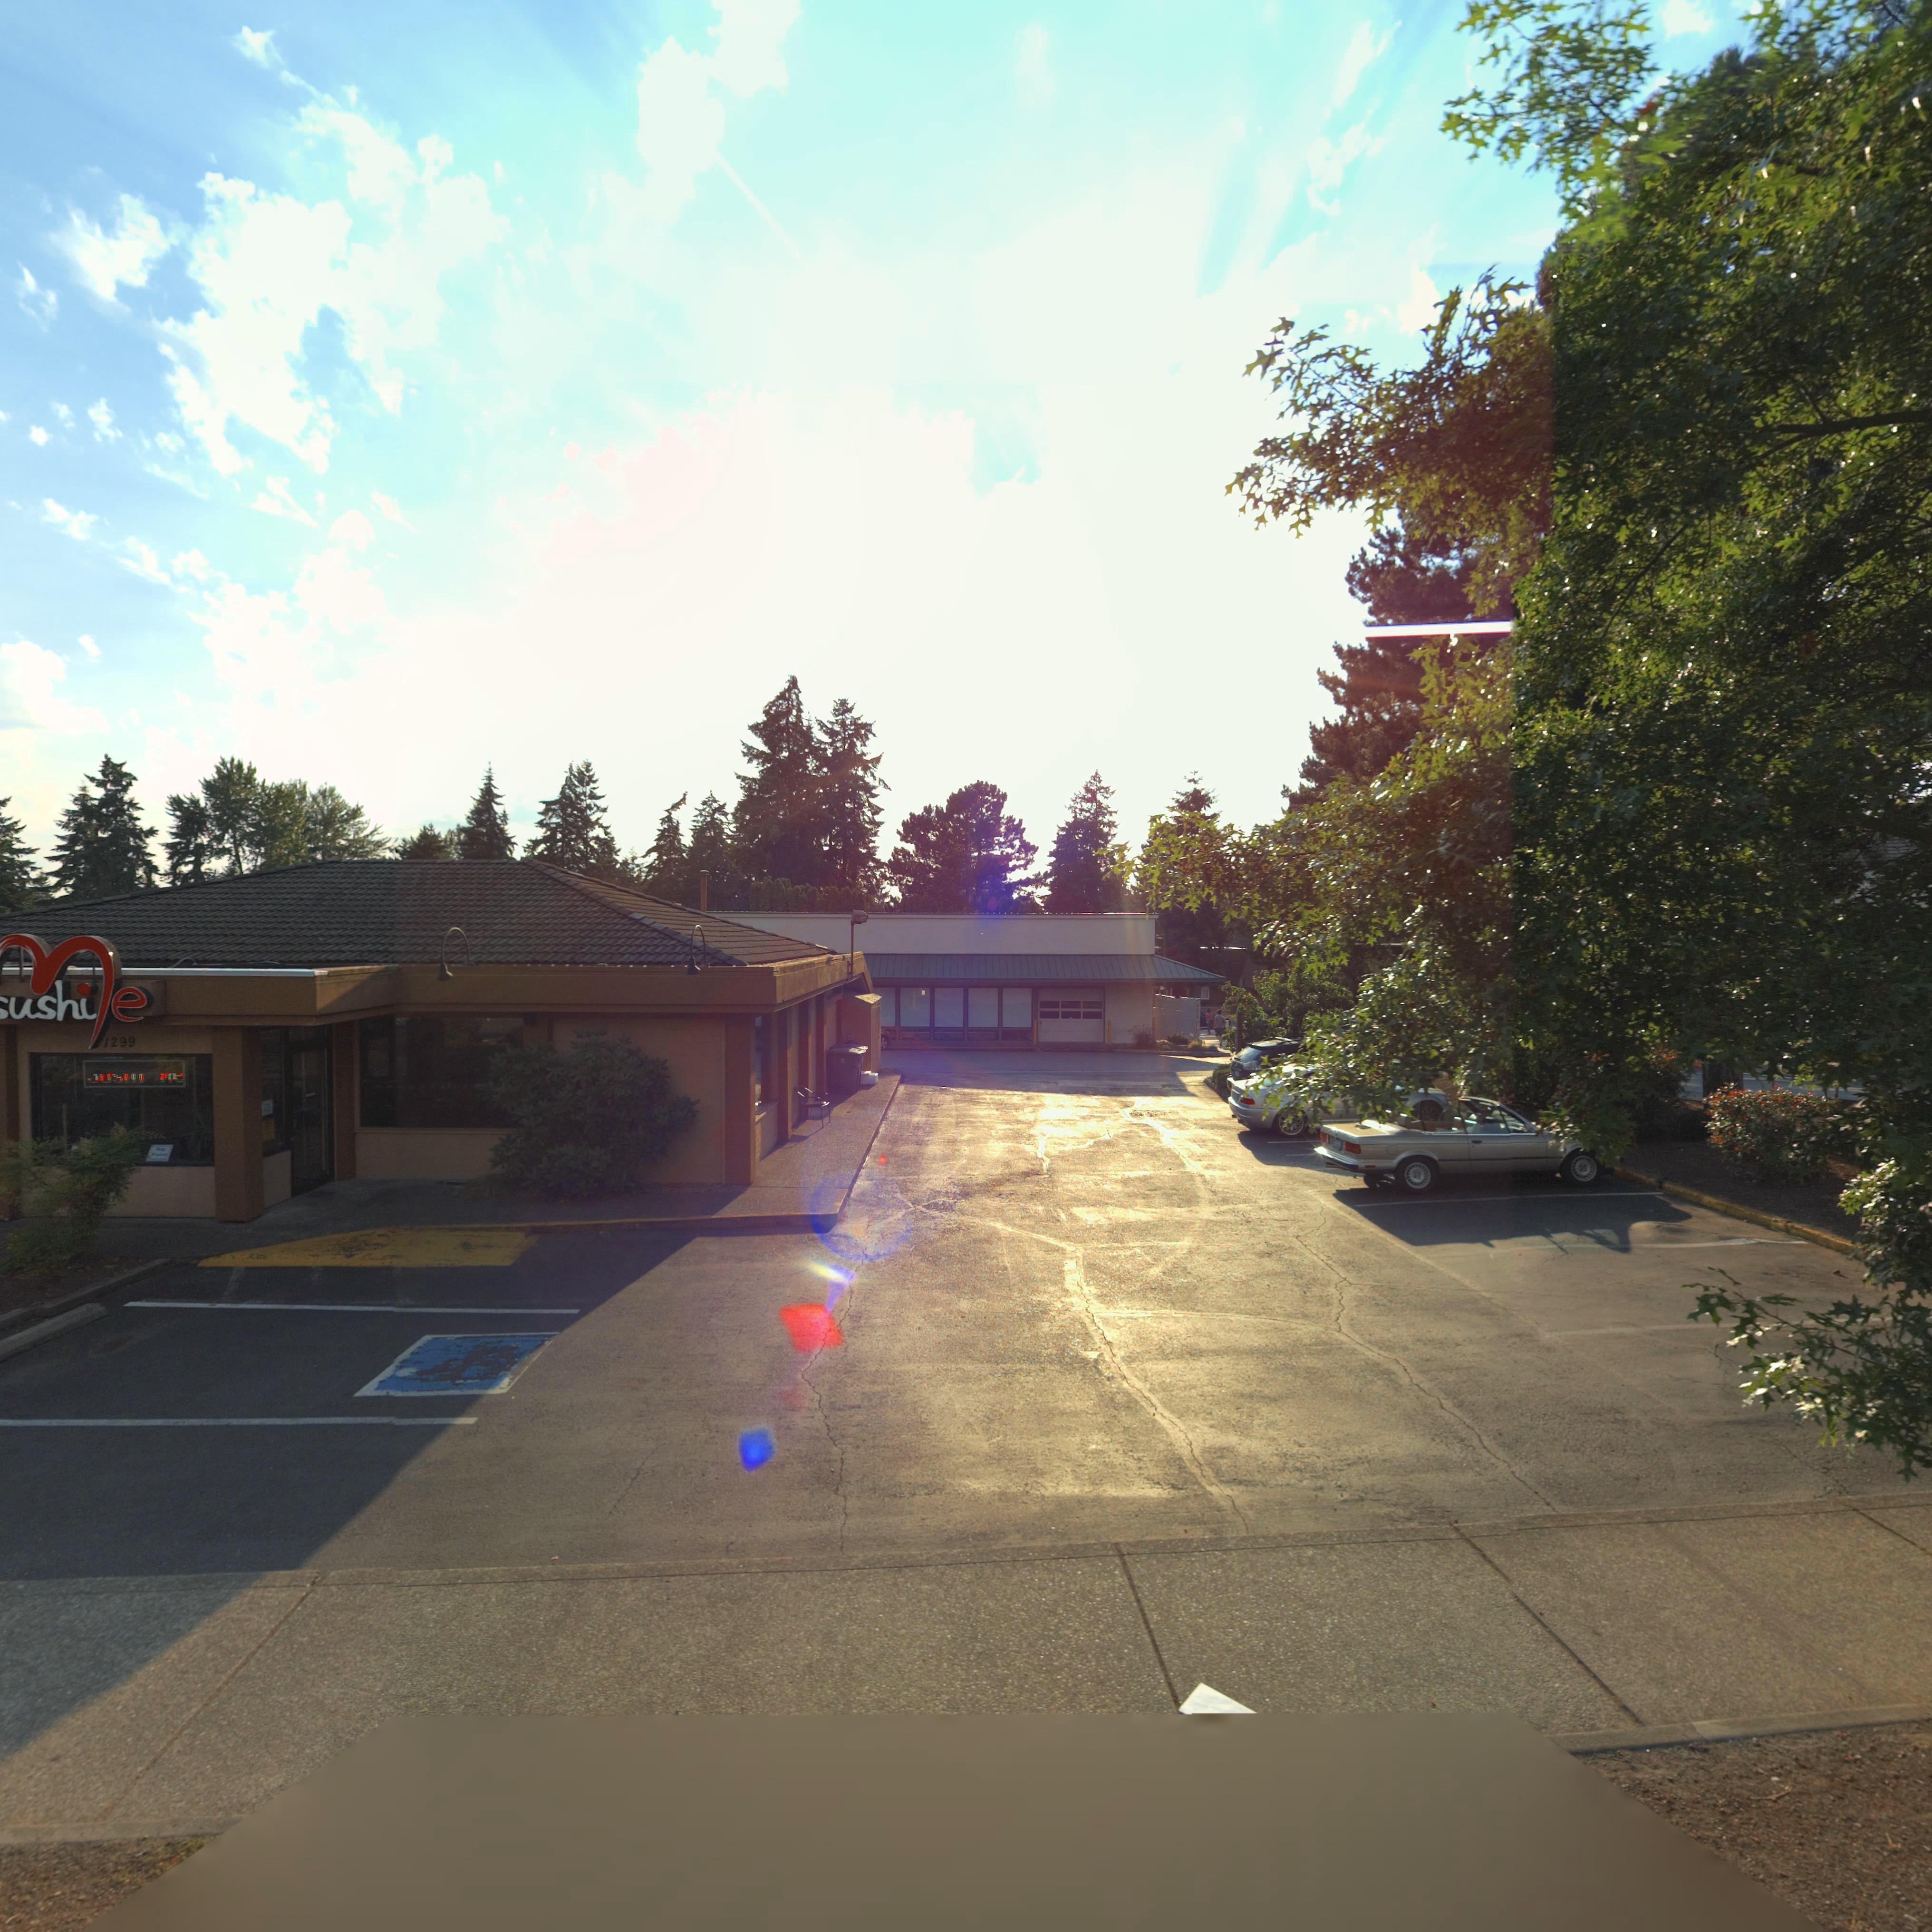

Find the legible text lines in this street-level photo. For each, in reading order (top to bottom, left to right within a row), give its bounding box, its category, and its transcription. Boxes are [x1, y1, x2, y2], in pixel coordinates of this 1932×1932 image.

[2, 979, 150, 1023] BusinessName: *ushi*e
[104, 1036, 135, 1048] StreetNumber: 1299